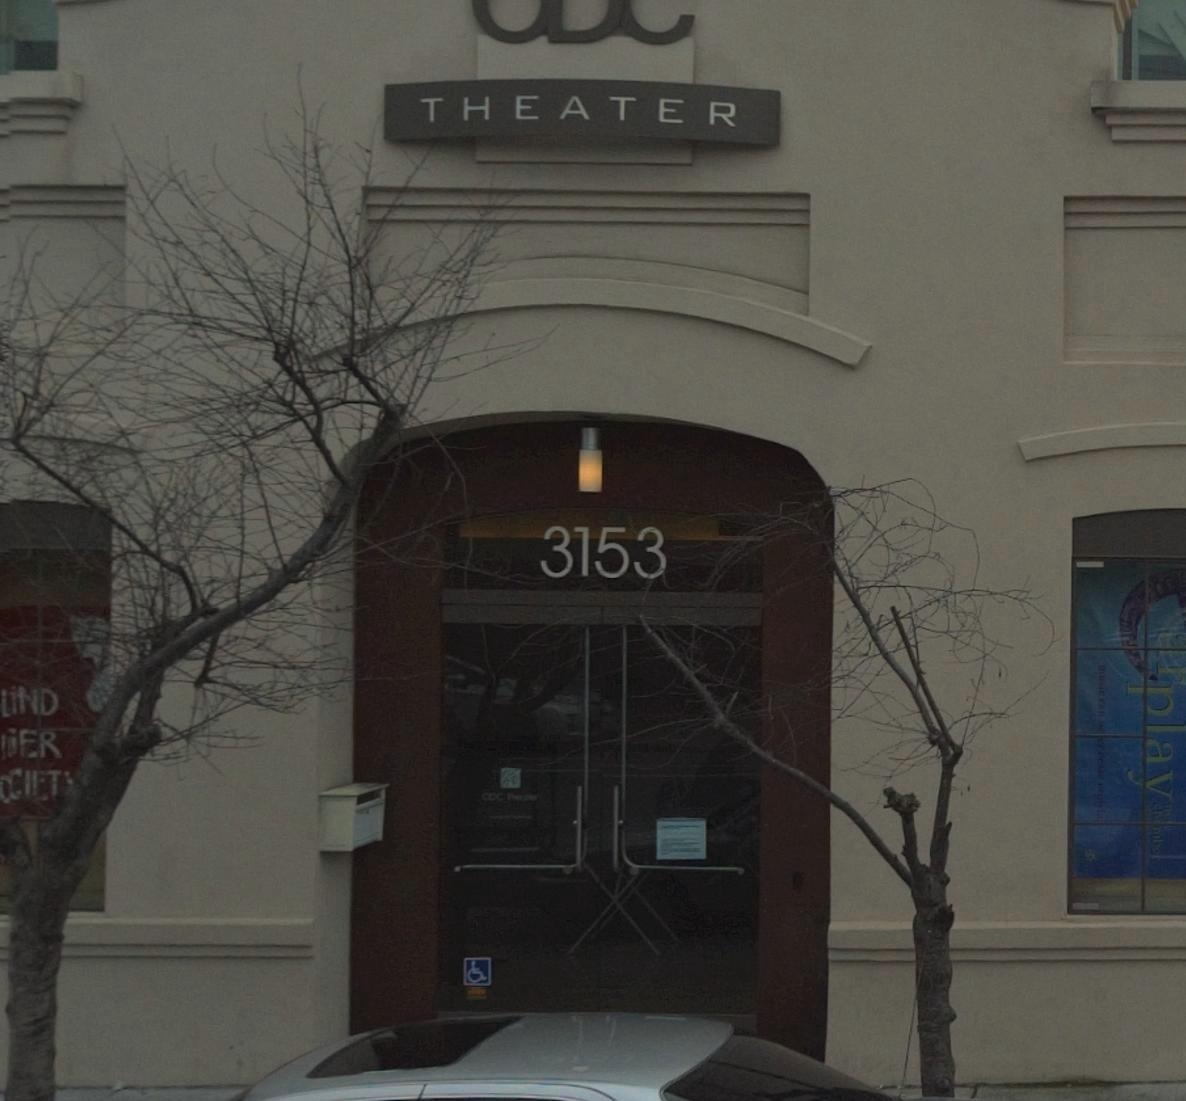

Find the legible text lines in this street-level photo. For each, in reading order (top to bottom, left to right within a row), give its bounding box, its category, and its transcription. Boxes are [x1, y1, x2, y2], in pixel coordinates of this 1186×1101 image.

[417, 93, 738, 129] BusinessName: THEATER
[537, 524, 669, 580] StreetNumber: 3153
[9, 683, 61, 718] None: iND
[38, 729, 65, 759] None: R